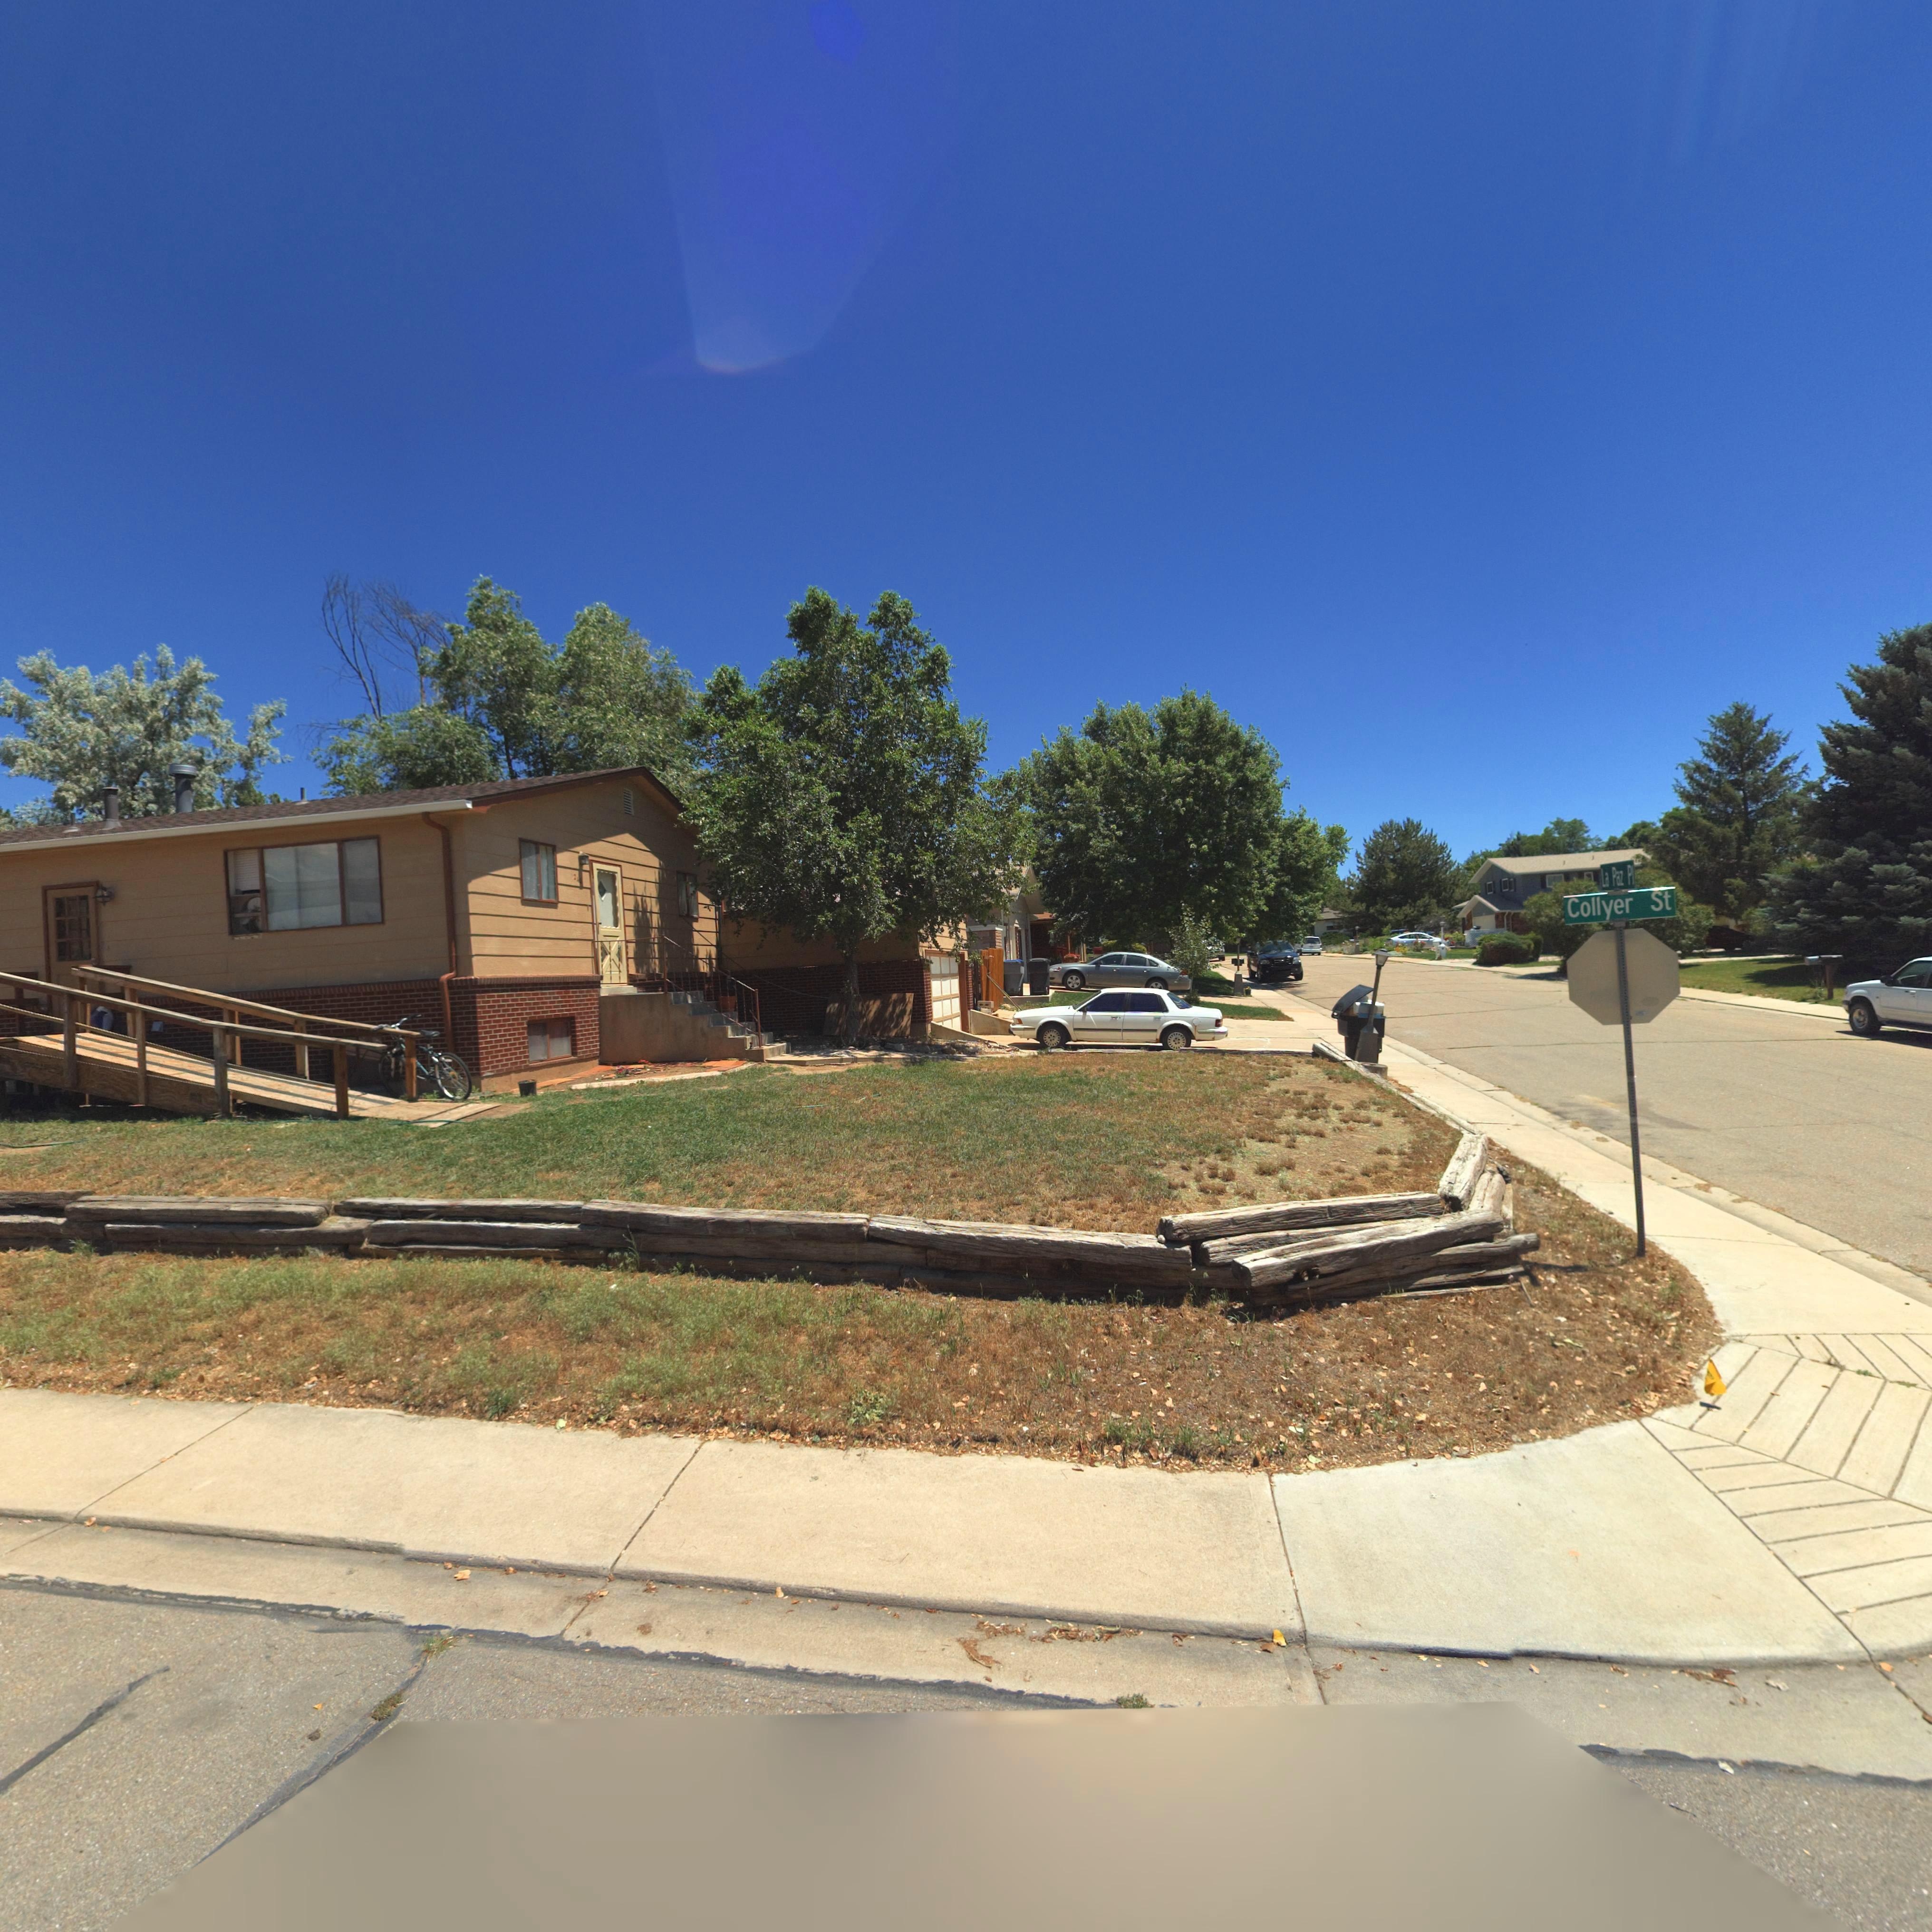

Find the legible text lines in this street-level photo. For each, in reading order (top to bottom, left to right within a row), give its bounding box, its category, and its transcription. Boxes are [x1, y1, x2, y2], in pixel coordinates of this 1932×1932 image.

[1601, 864, 1635, 888] StreetName: La Paz Pl
[1566, 889, 1672, 920] StreetName: Collyer St